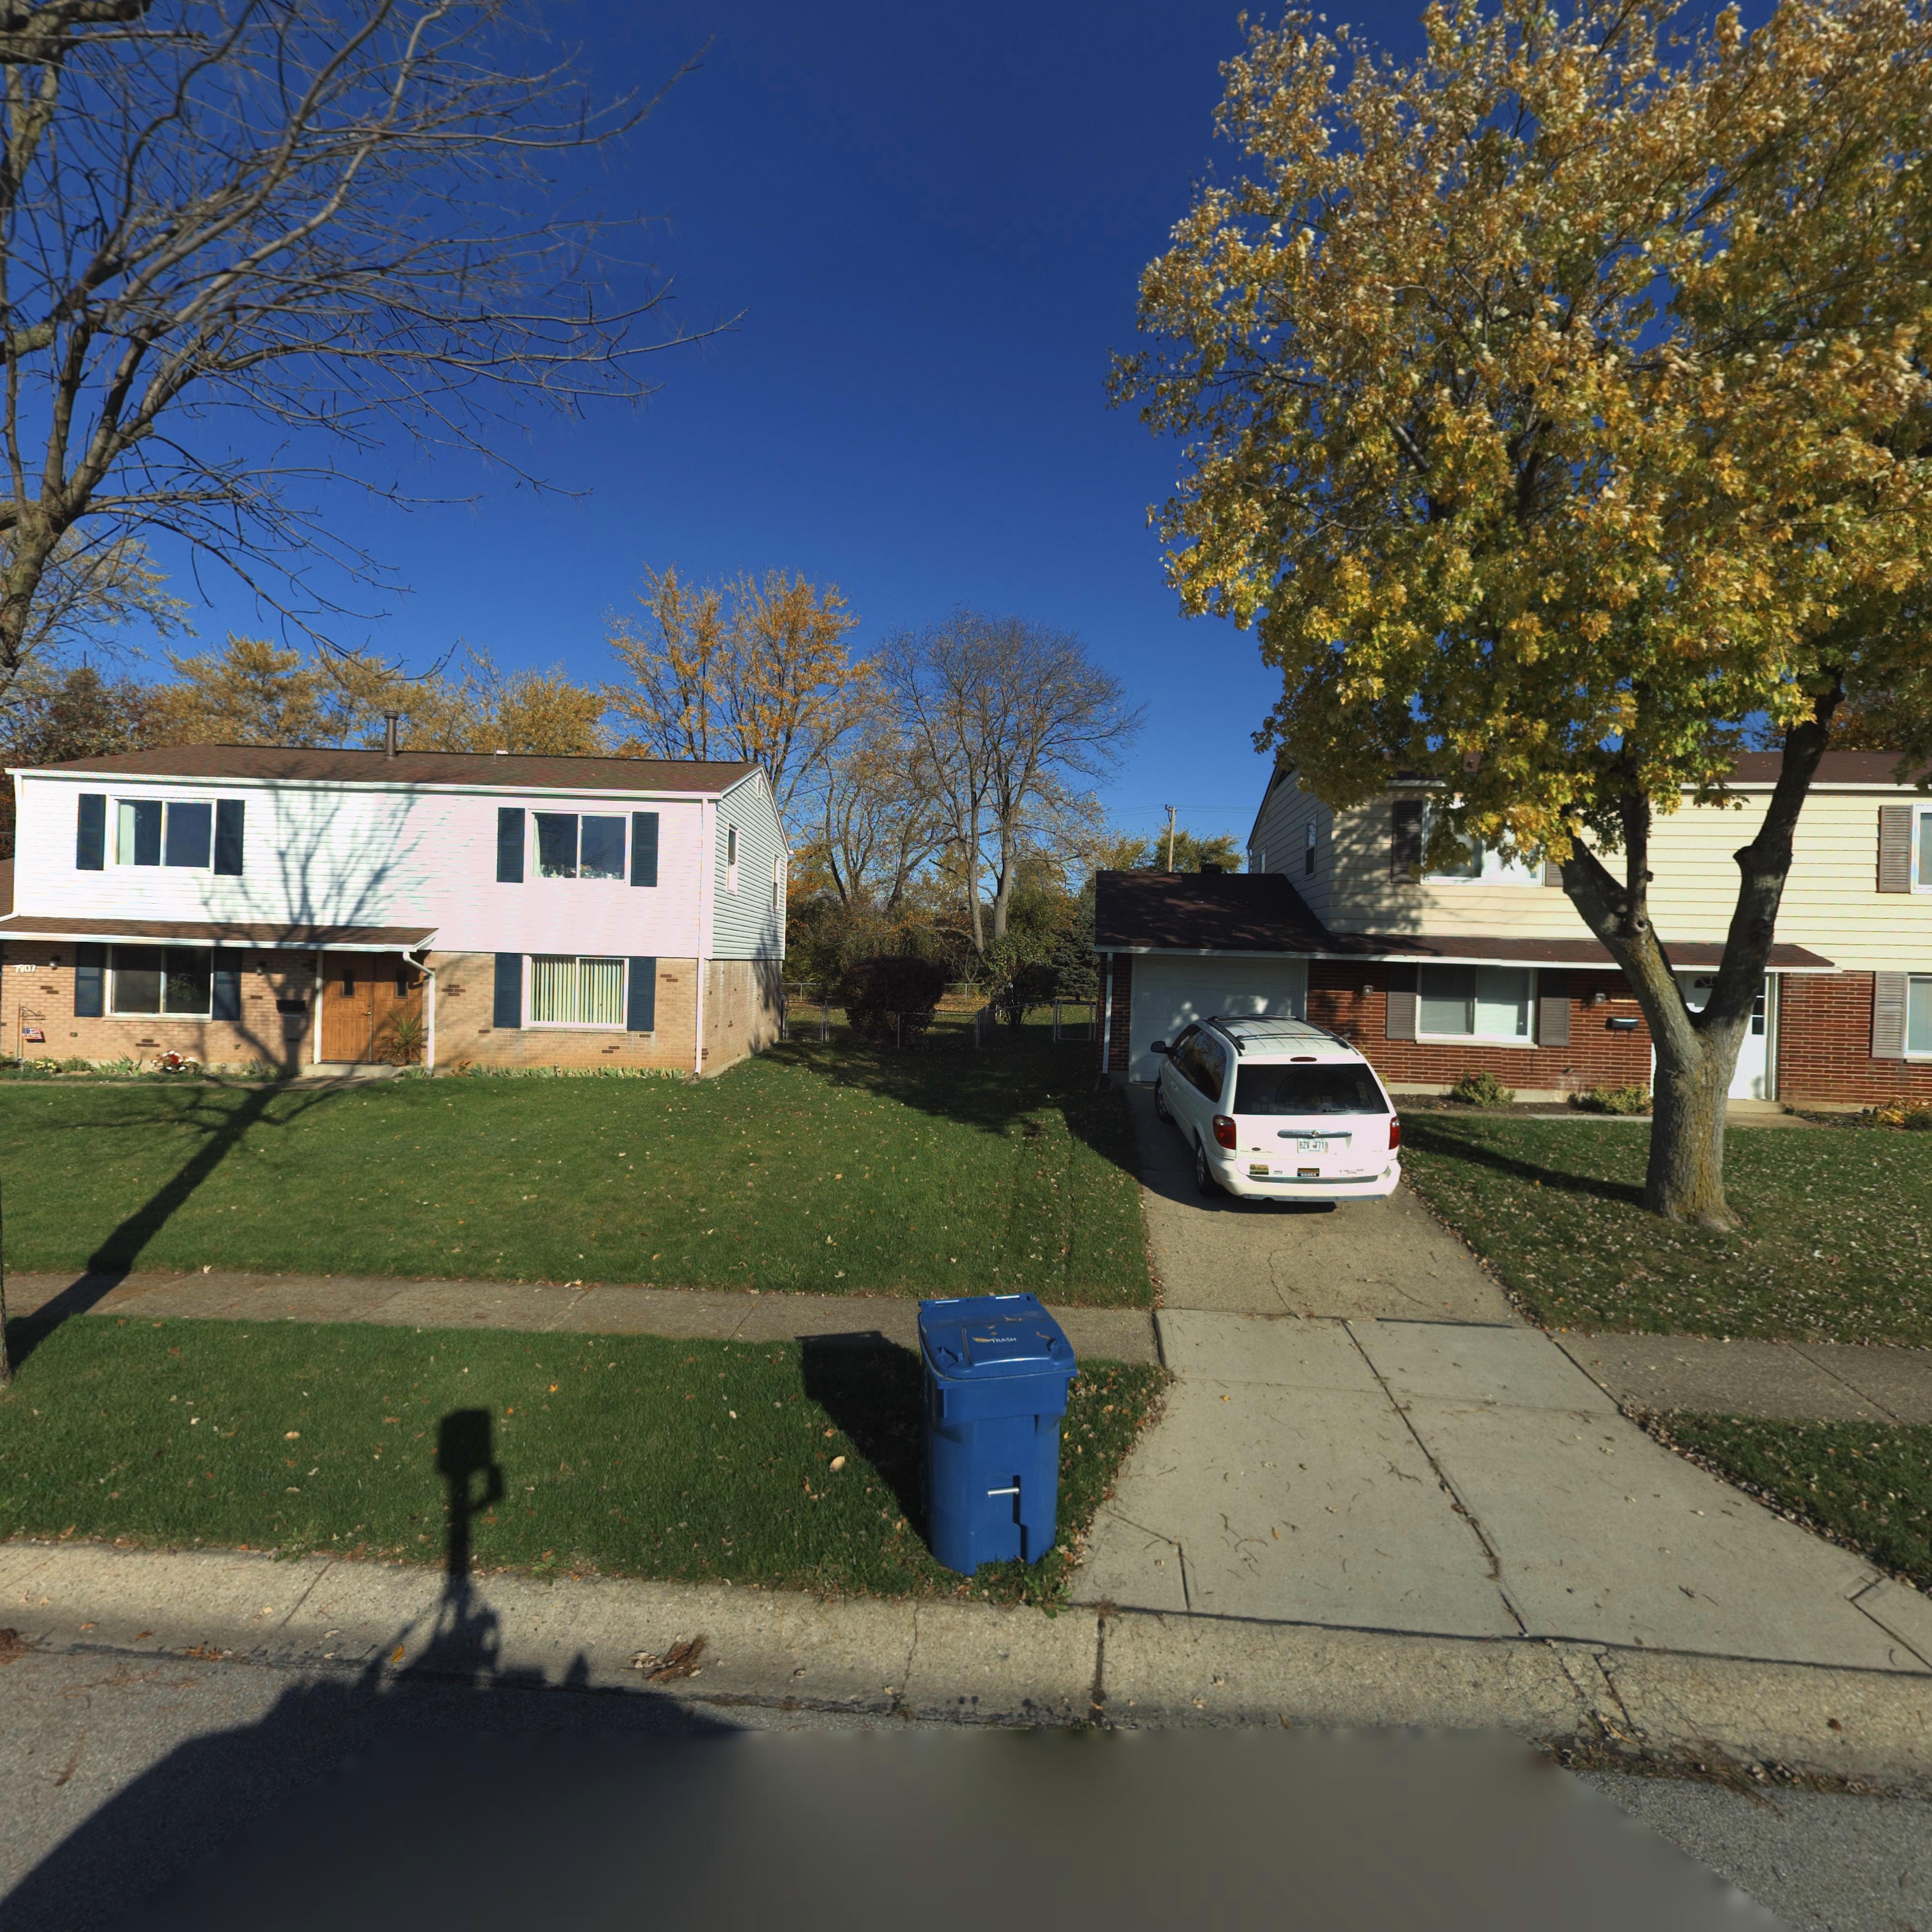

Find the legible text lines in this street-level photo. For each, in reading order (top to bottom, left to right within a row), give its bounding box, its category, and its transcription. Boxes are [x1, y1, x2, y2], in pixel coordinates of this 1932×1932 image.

[12, 963, 38, 975] StreetNumber: 7907
[1610, 992, 1631, 1002] StreetNumber: 791